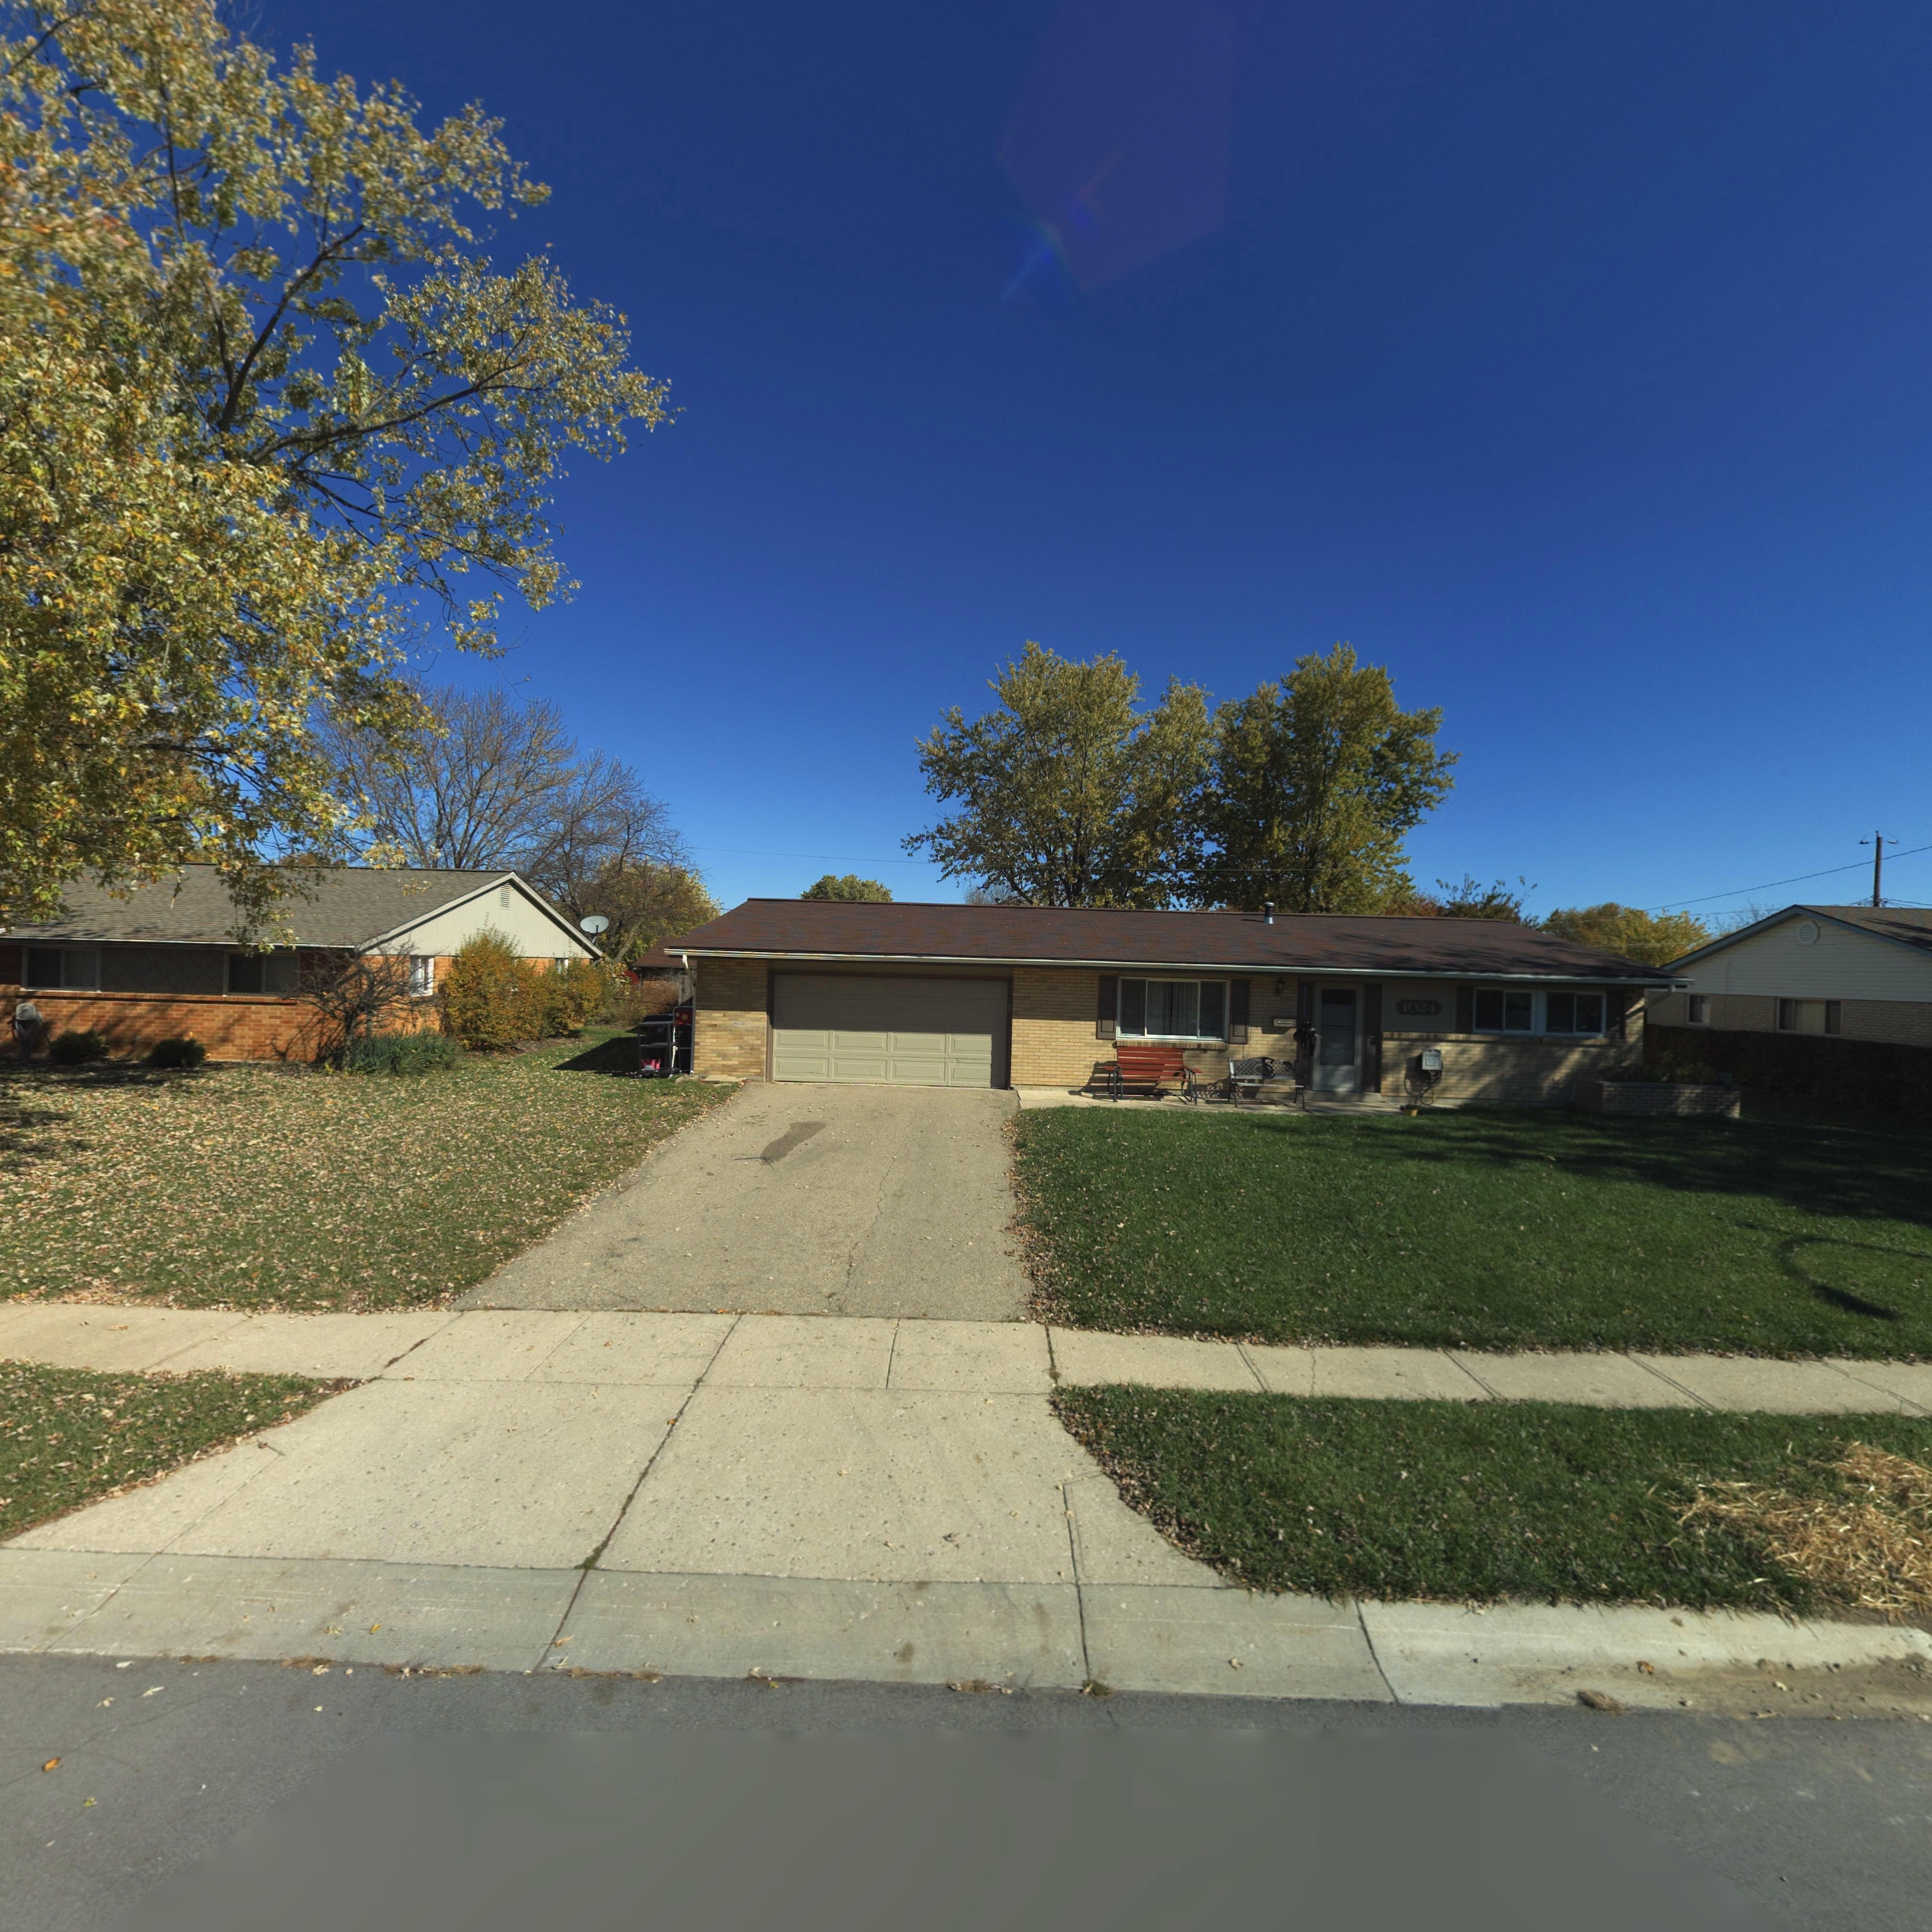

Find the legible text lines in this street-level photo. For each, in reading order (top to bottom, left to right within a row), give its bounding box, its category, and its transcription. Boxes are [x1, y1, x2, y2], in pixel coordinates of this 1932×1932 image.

[1402, 1001, 1437, 1014] StreetNumber: 1024